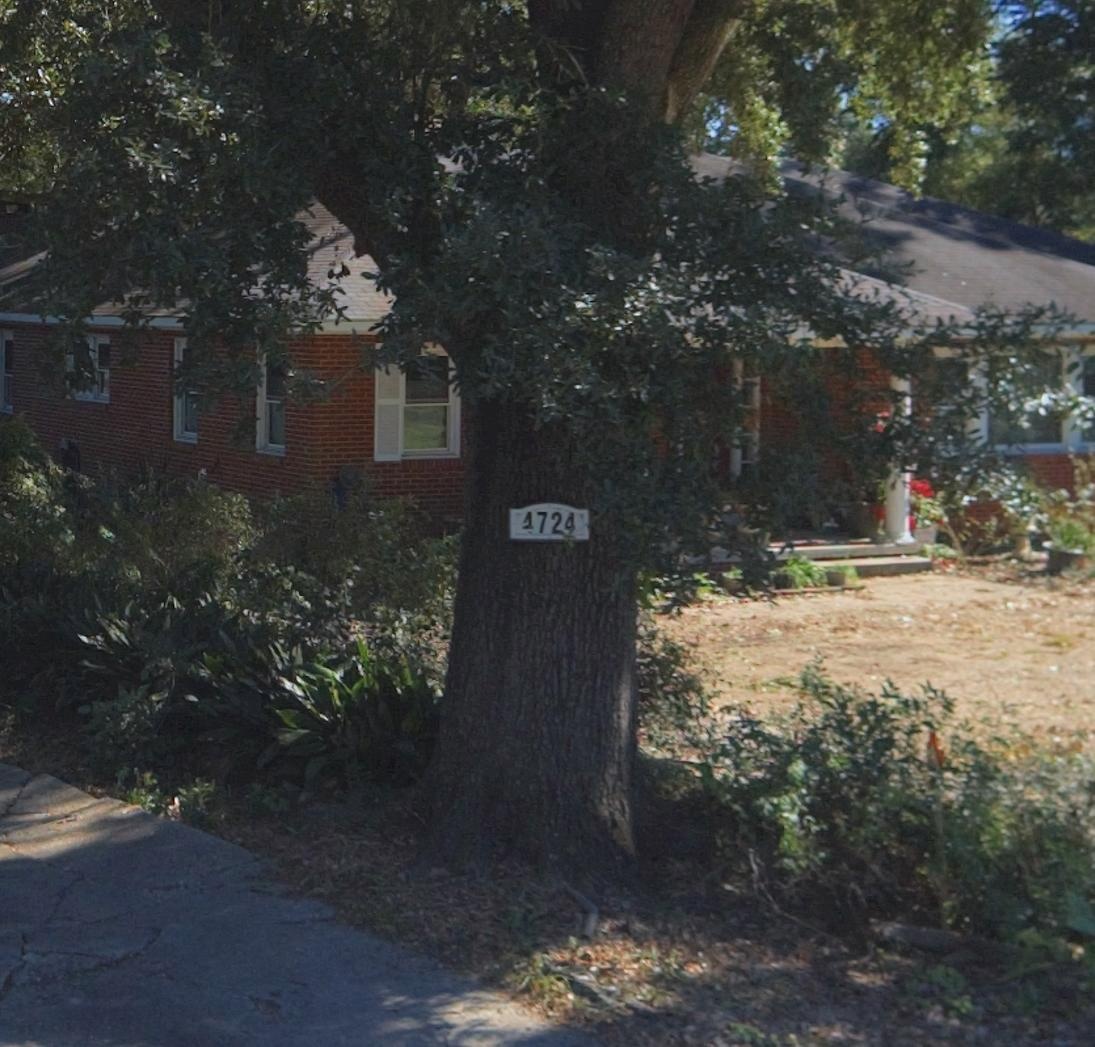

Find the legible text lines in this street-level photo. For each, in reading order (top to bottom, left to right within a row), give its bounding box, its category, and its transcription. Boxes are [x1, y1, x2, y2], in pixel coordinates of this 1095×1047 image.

[520, 510, 577, 536] StreetNumber: 4724